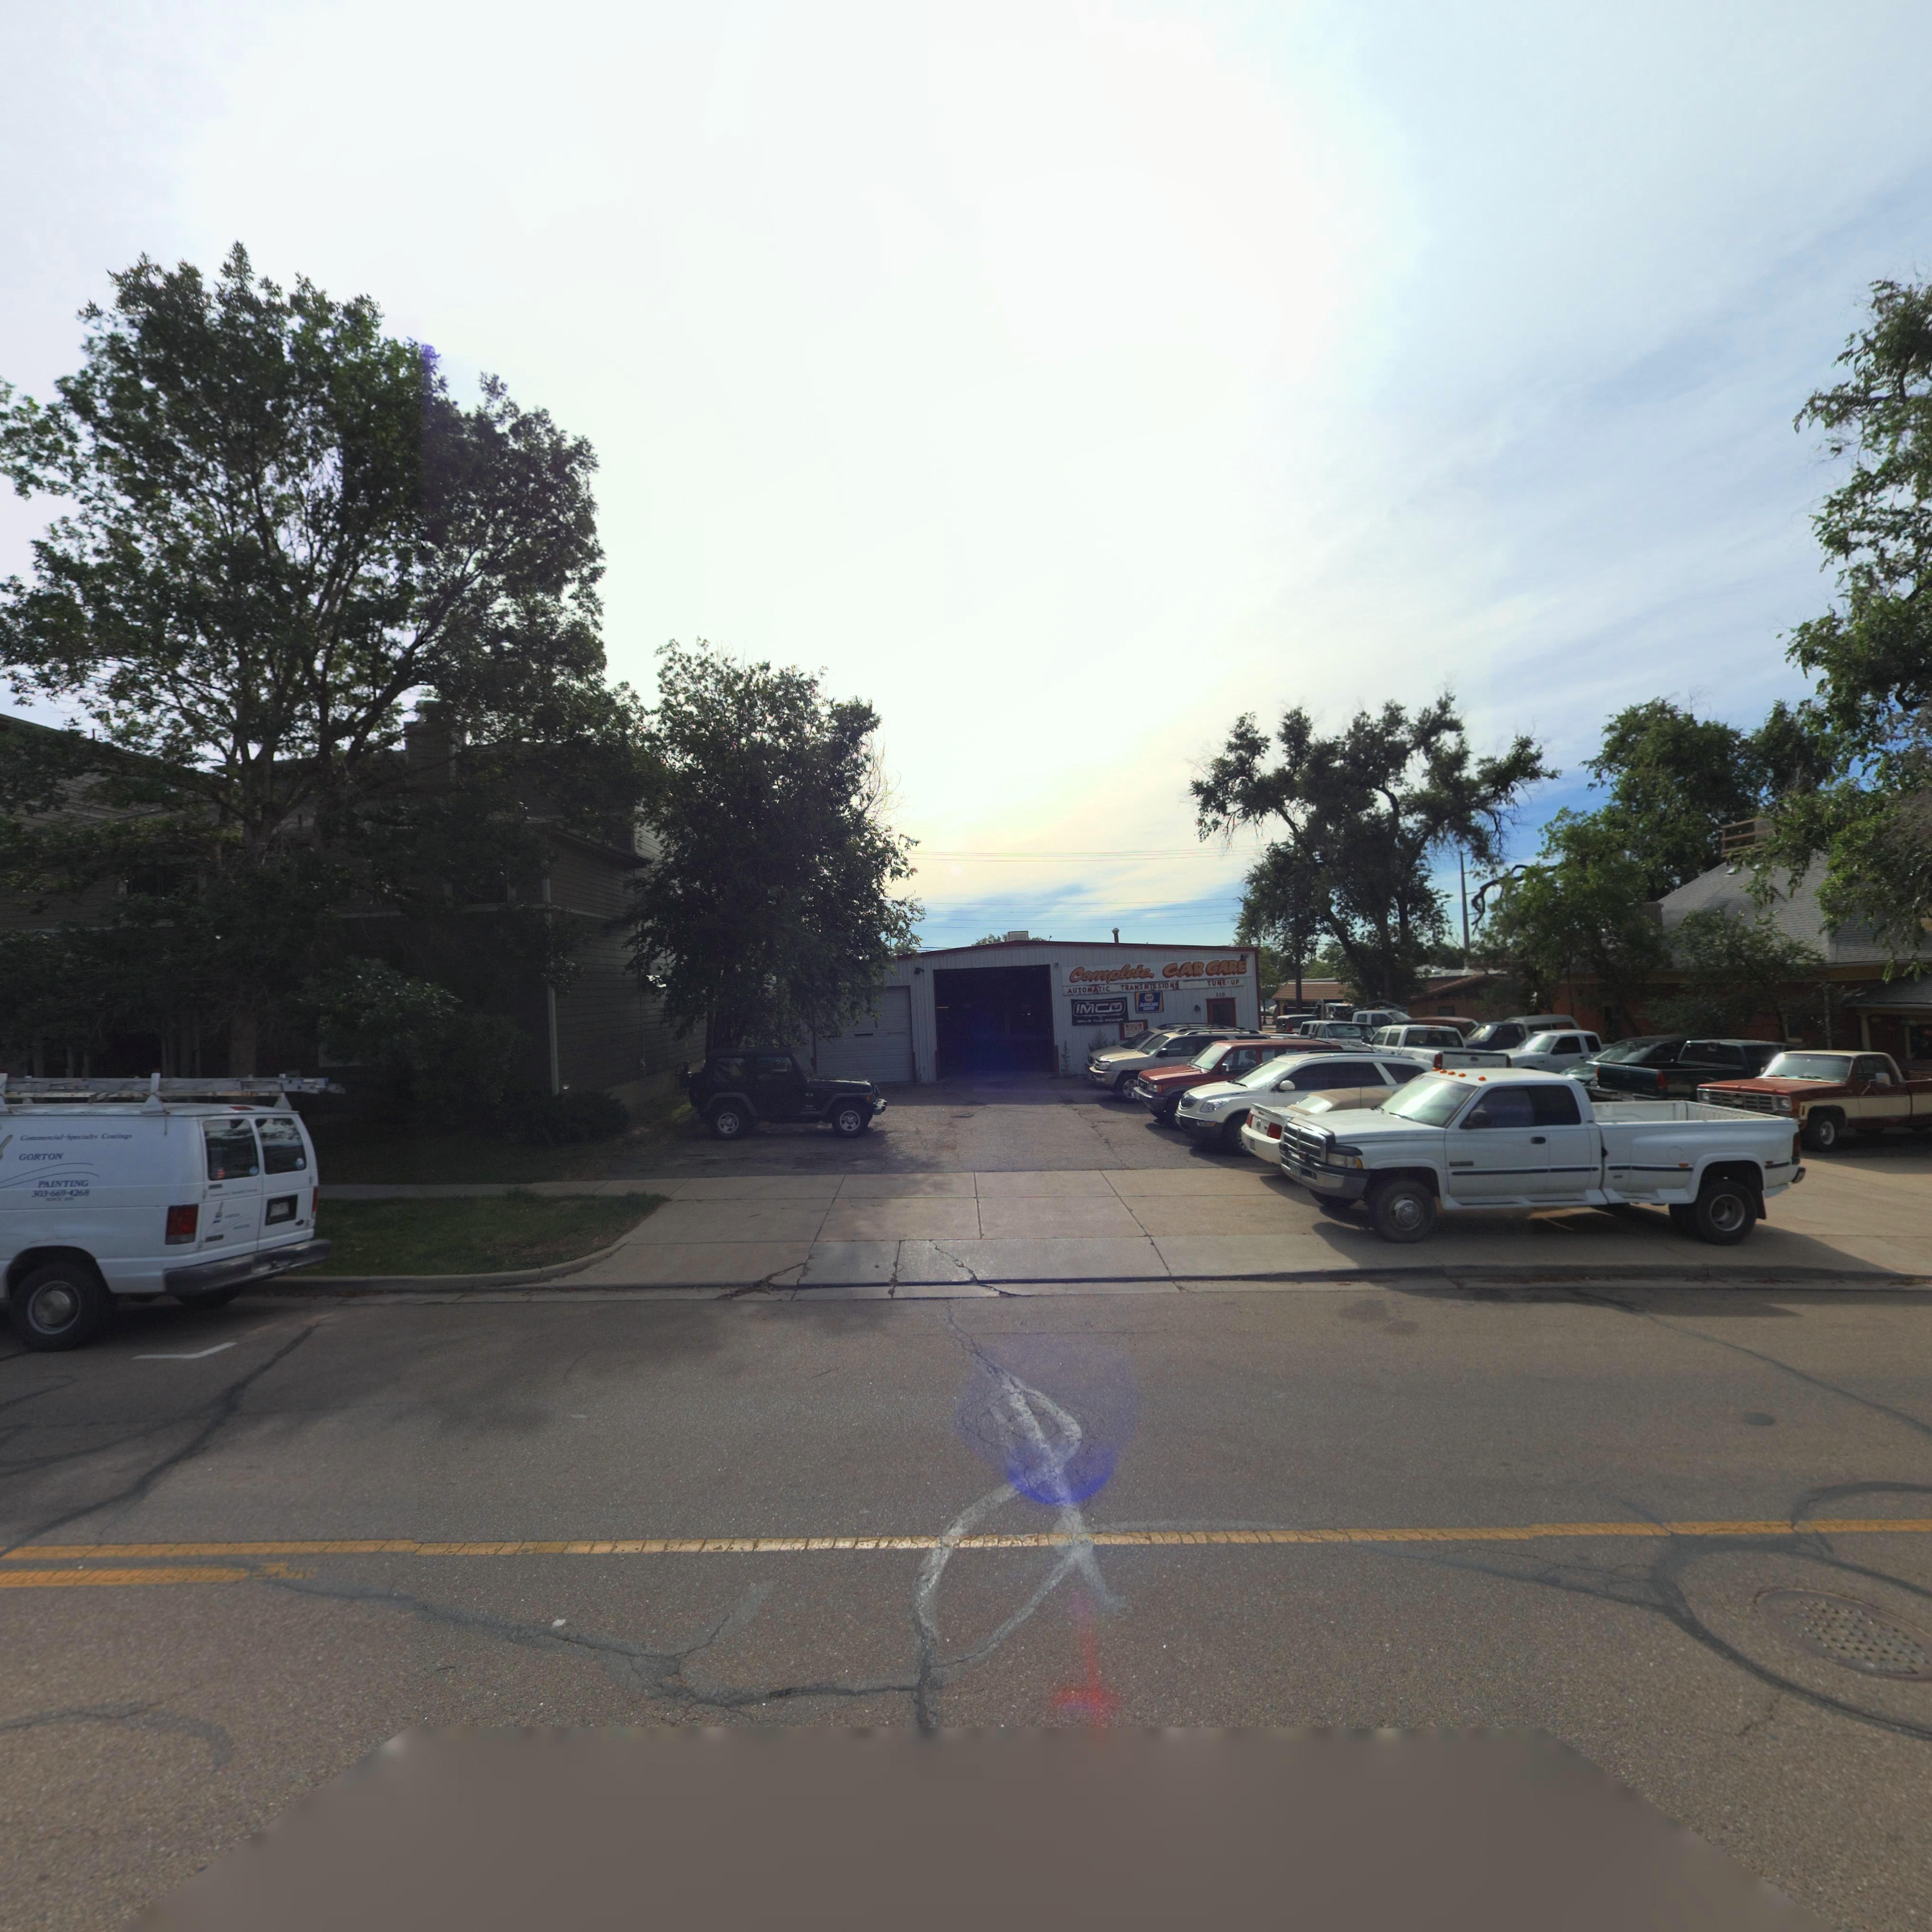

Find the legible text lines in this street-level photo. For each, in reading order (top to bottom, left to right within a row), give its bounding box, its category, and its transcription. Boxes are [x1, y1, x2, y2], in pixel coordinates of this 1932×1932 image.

[1162, 958, 1248, 979] BusinessName: CAR GARE
[1068, 963, 1155, 984] BusinessName: Complete
[1145, 995, 1153, 1000] BusinessName: NAPA
[1215, 992, 1226, 996] StreetNumber: 220
[1075, 1001, 1124, 1014] BusinessName: IMCO
[19, 1152, 64, 1161] BusinessName: GORTON
[37, 1179, 88, 1188] BusinessName: PAINTING